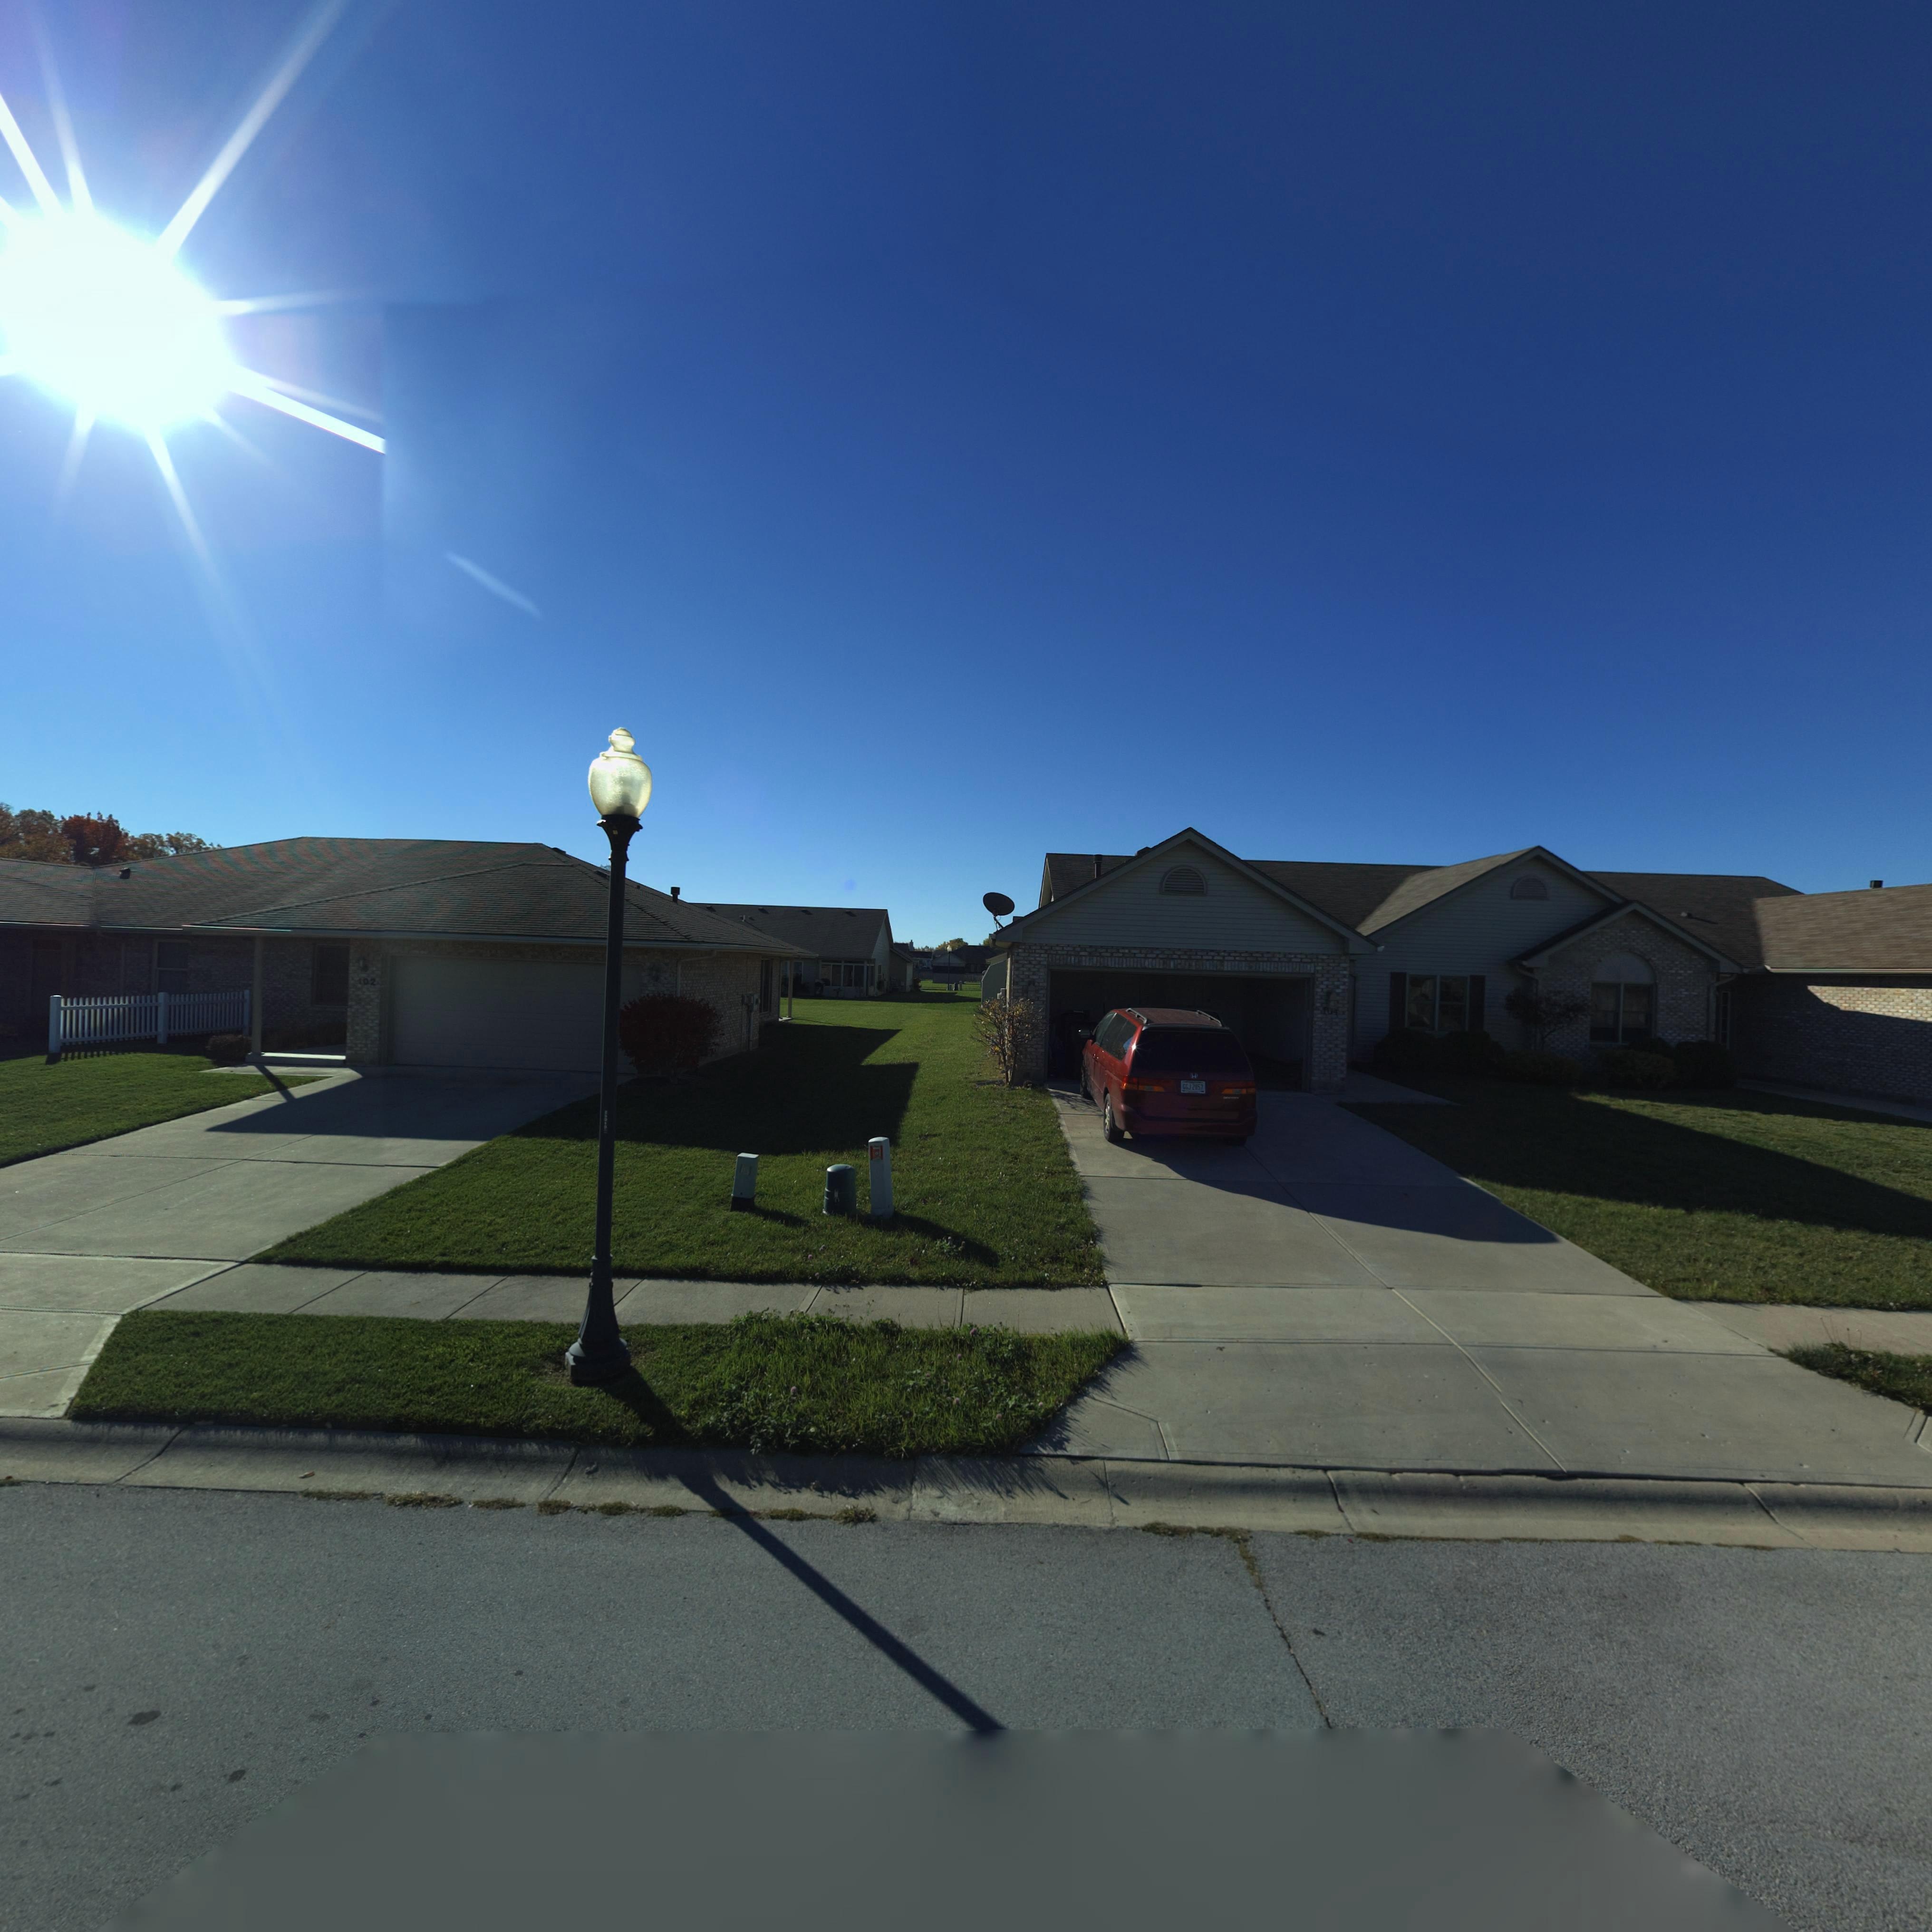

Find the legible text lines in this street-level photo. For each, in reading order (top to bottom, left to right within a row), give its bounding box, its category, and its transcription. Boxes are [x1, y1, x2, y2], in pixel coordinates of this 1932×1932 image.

[357, 976, 377, 987] StreetNumber: 102